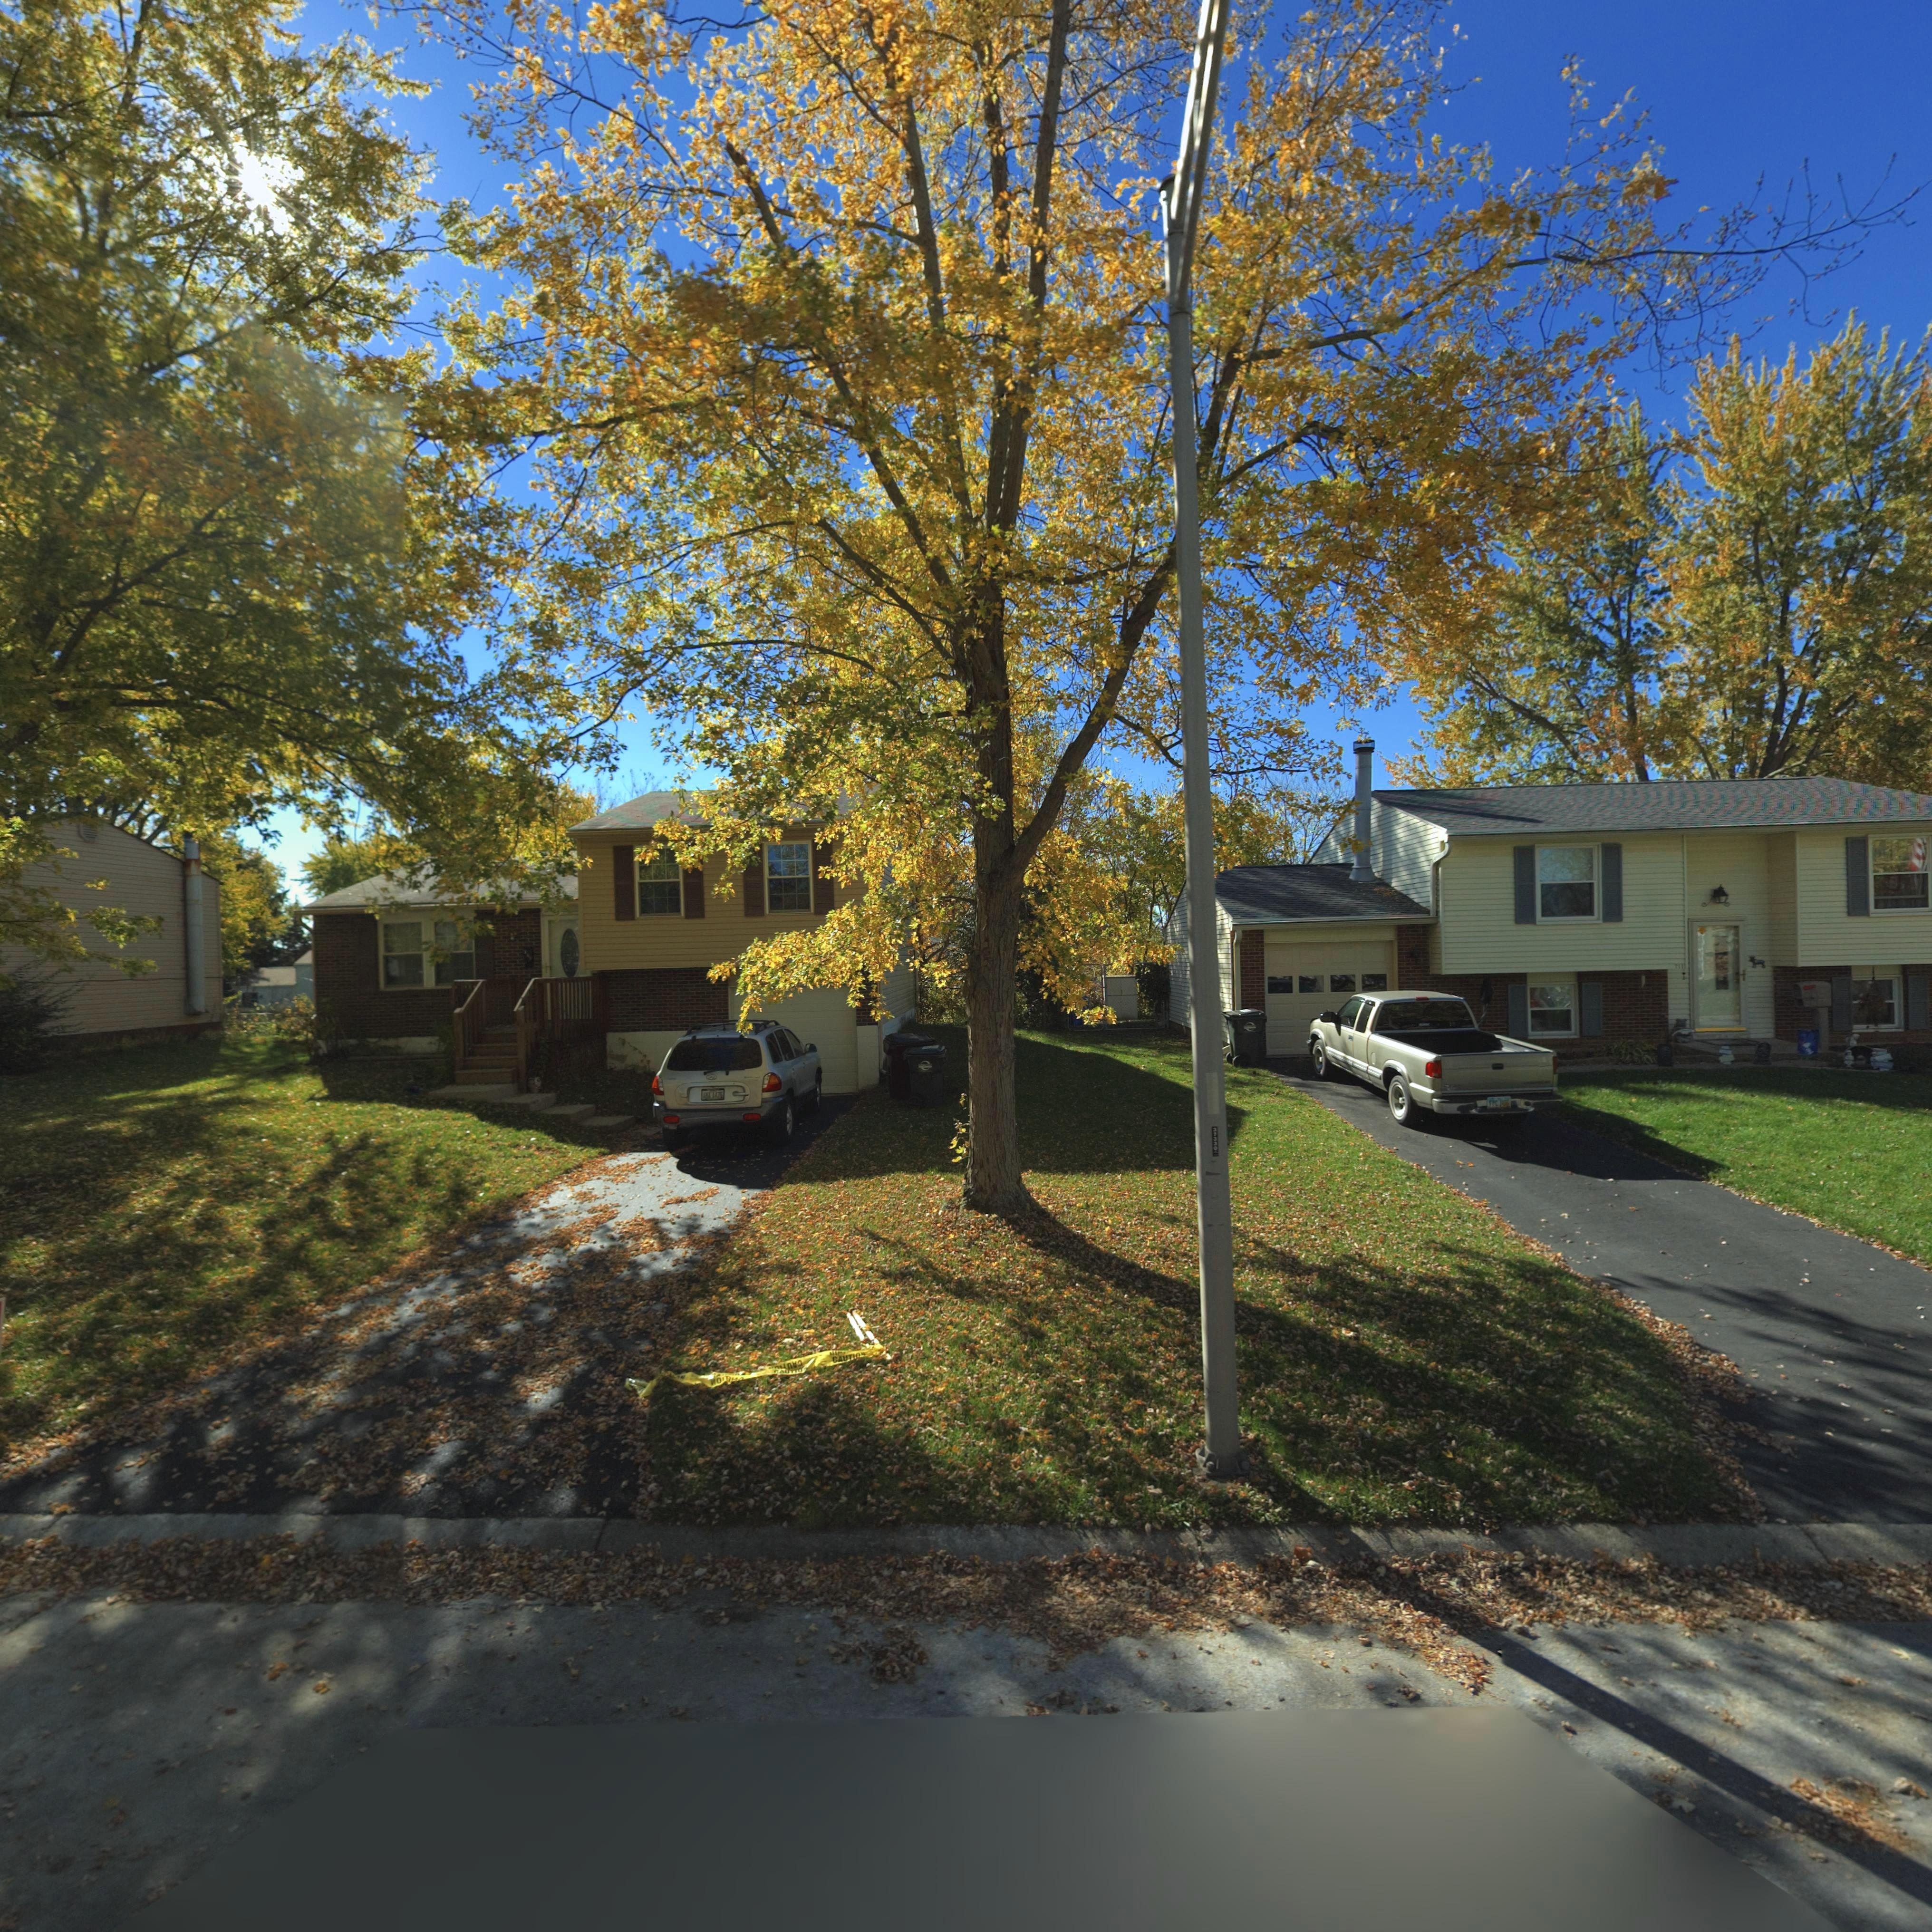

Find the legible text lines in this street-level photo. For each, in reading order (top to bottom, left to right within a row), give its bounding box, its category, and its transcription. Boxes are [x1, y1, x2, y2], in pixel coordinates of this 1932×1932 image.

[1675, 963, 1684, 969] StreetNumber: 711
[1488, 1099, 1510, 1108] None: FPC ****